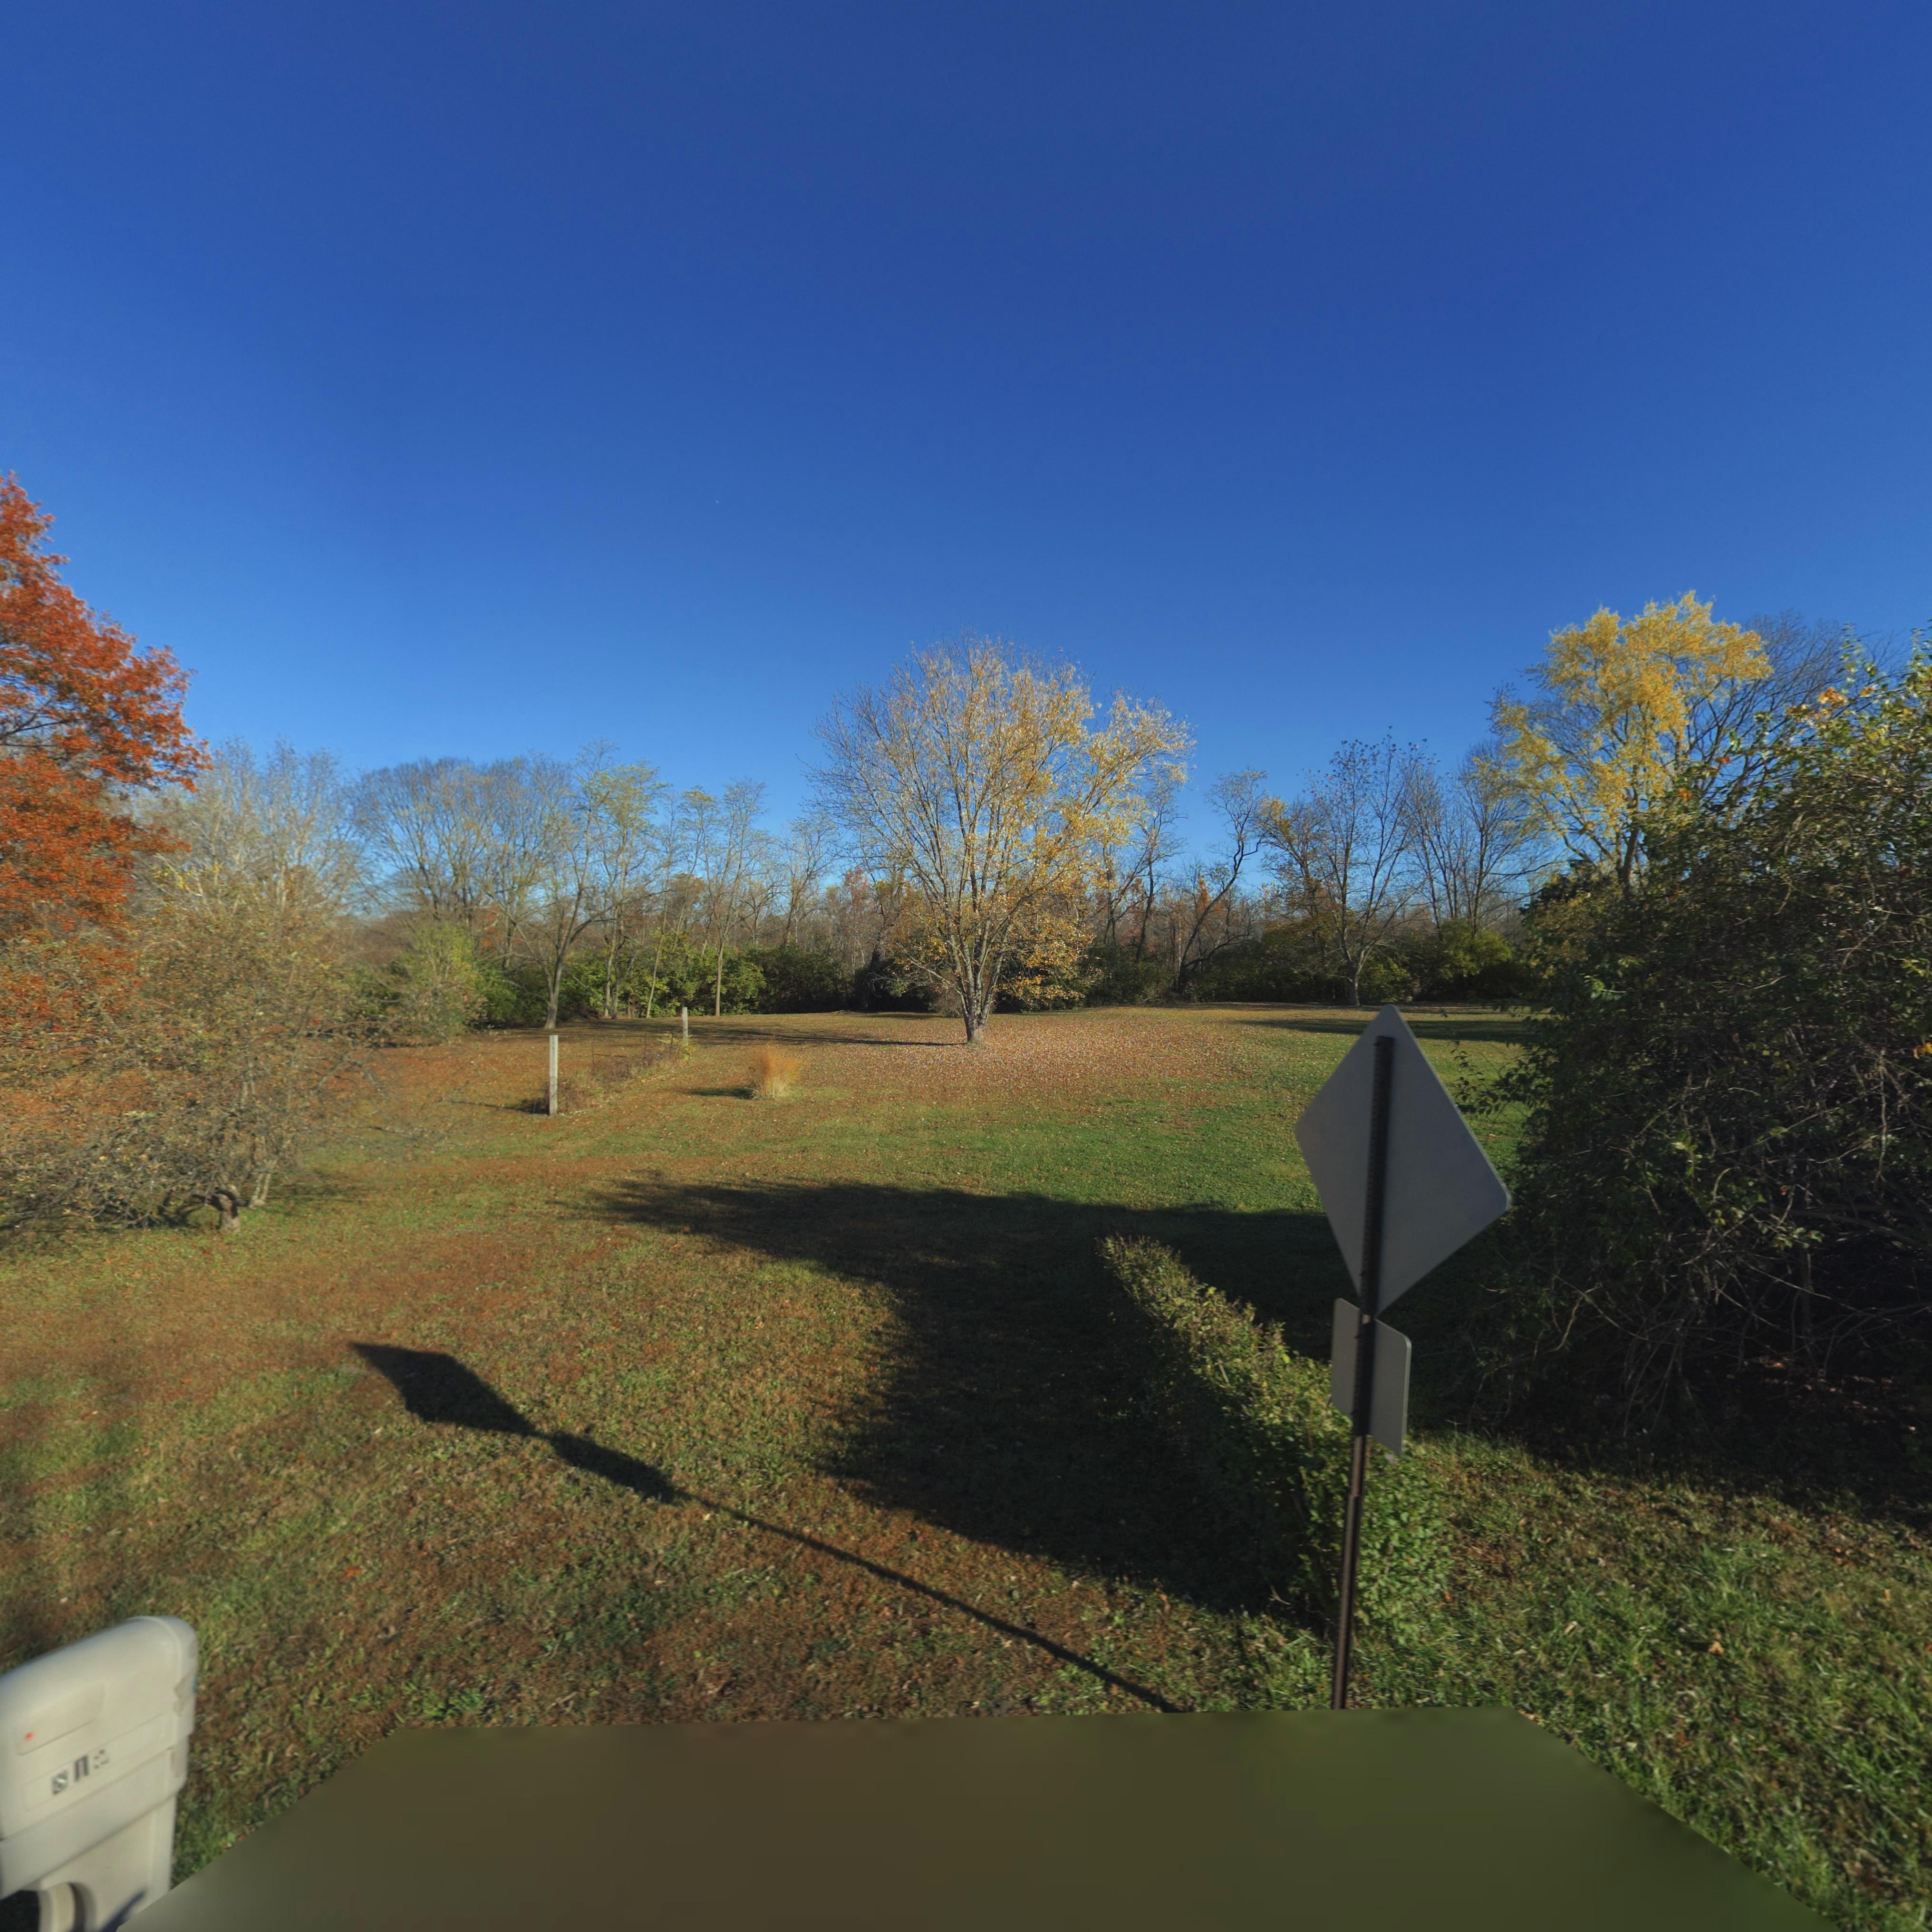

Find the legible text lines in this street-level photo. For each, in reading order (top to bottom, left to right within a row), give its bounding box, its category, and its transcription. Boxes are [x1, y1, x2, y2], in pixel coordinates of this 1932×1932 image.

[51, 1746, 112, 1796] StreetNumber: 81*